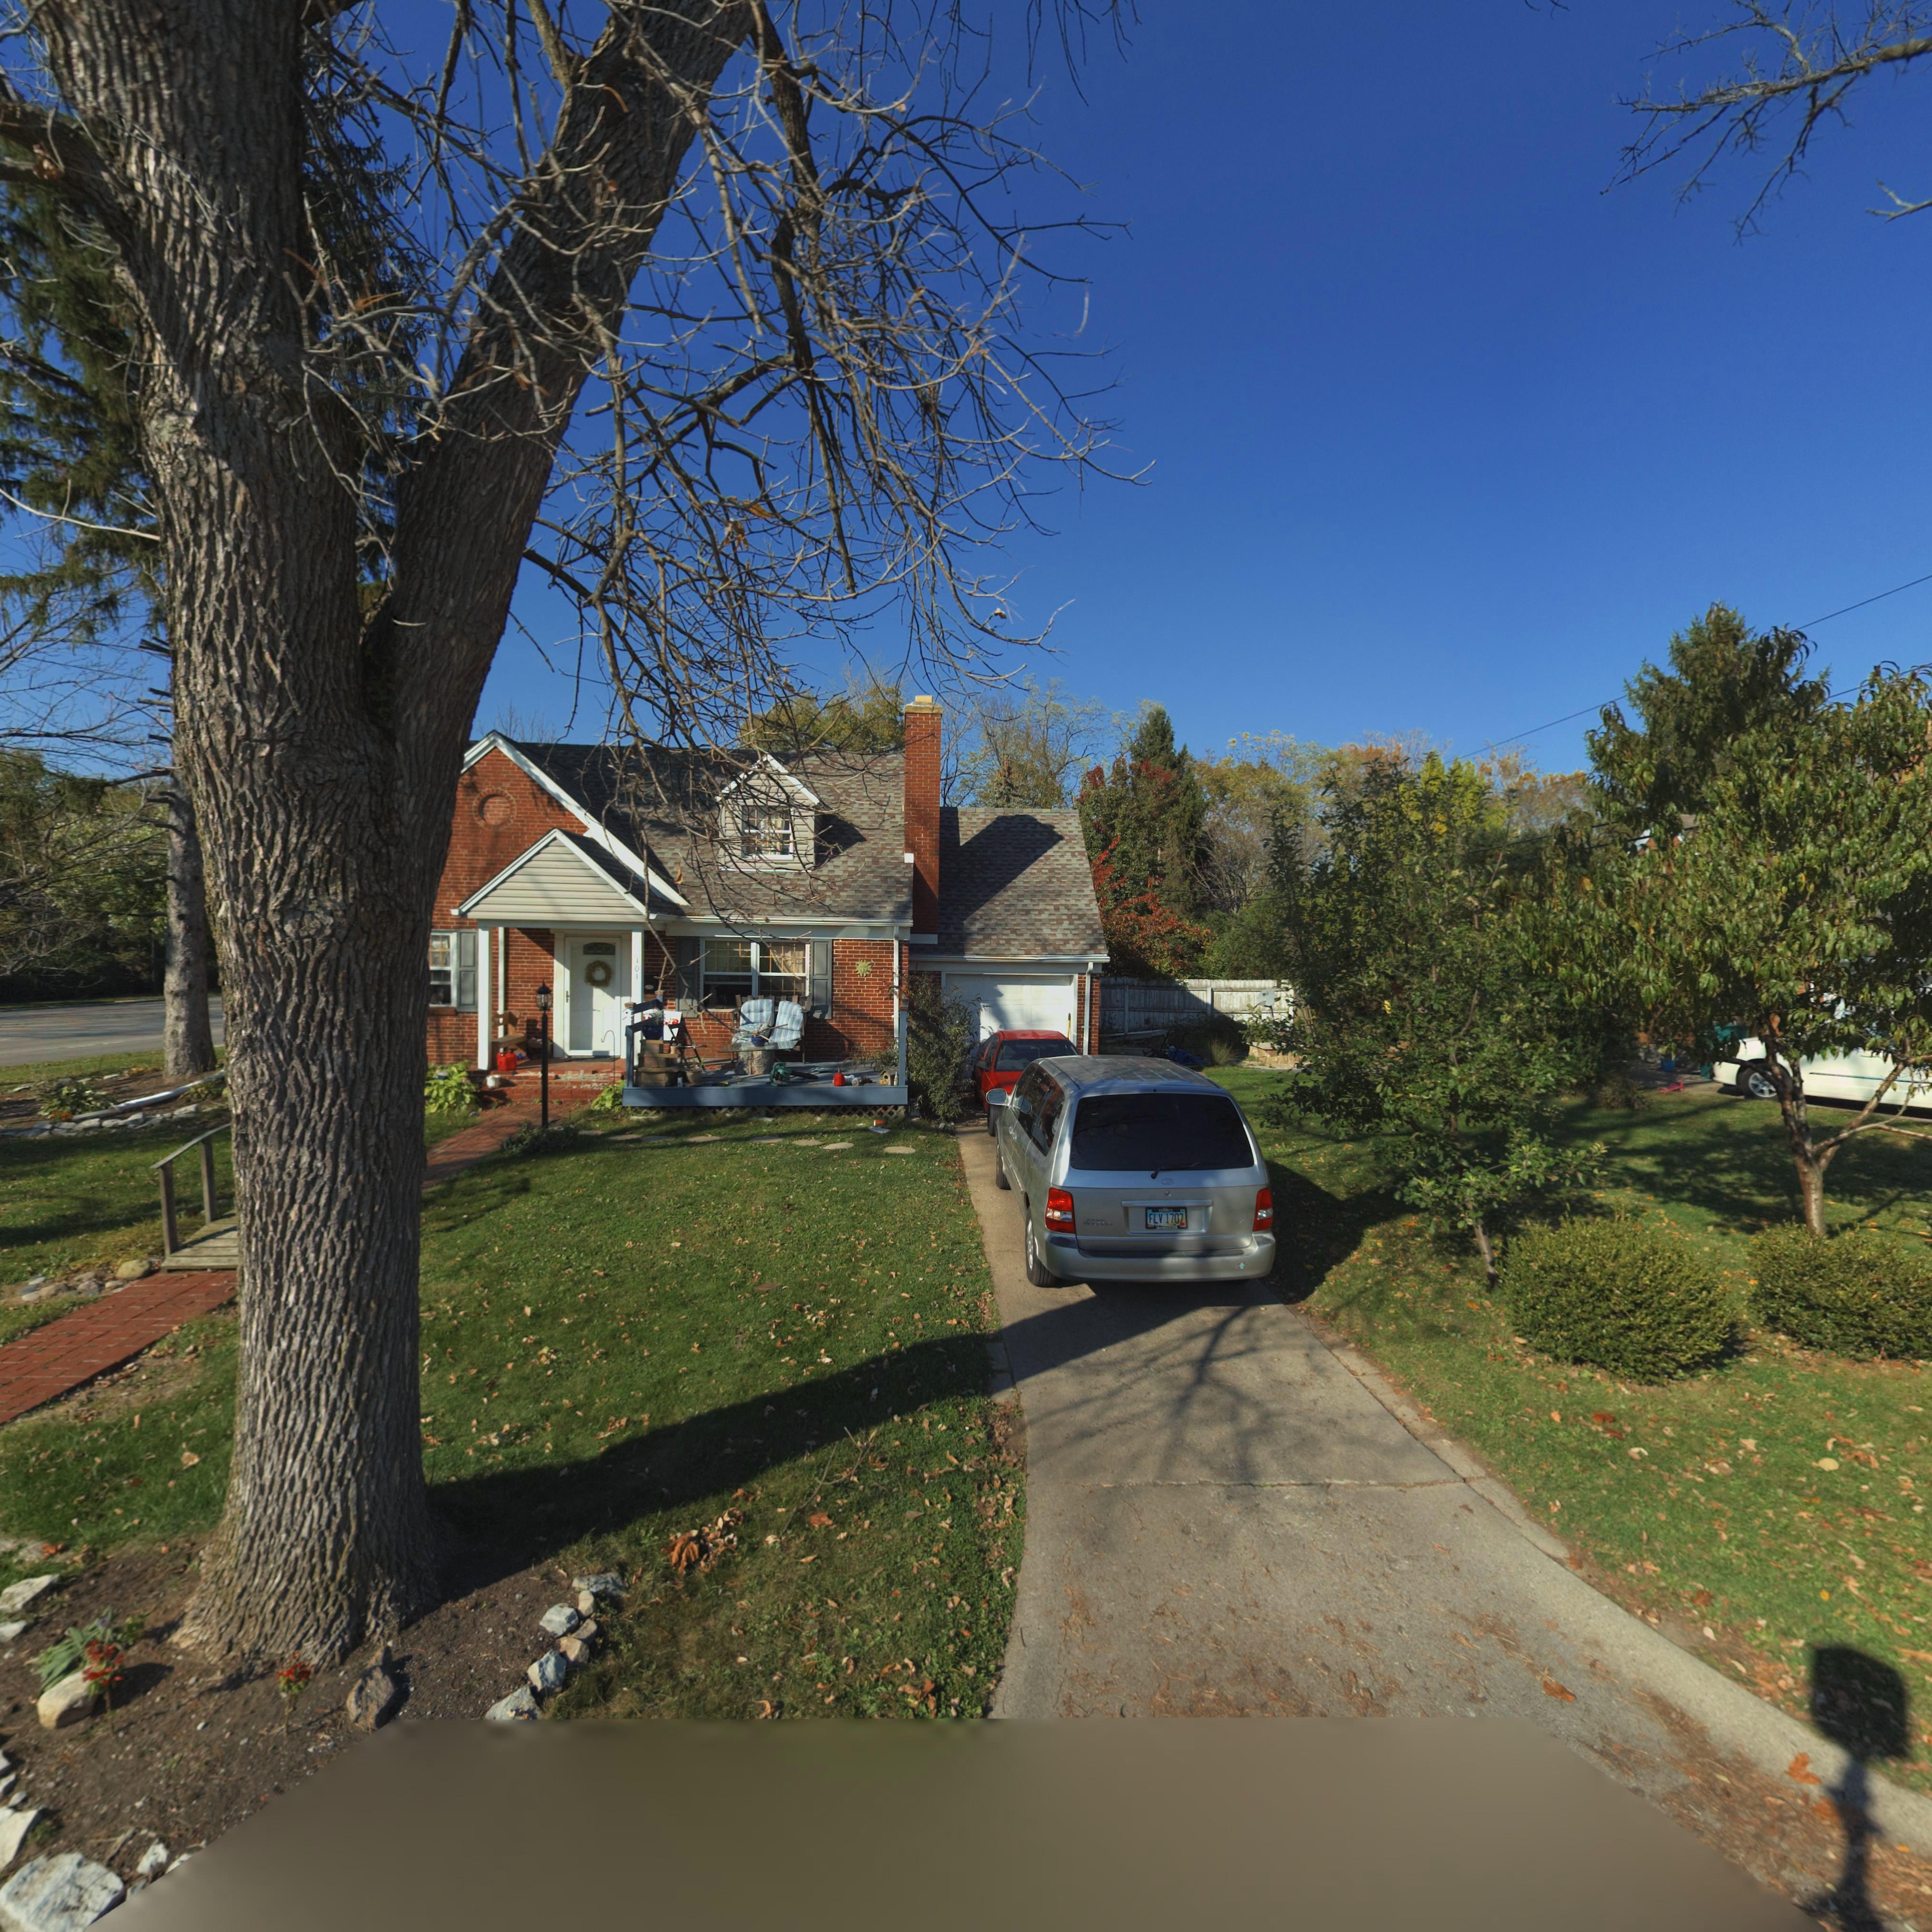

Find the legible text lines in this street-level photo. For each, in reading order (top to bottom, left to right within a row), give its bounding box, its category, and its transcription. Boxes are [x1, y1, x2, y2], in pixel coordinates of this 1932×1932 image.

[634, 956, 640, 980] StreetNumber: 101